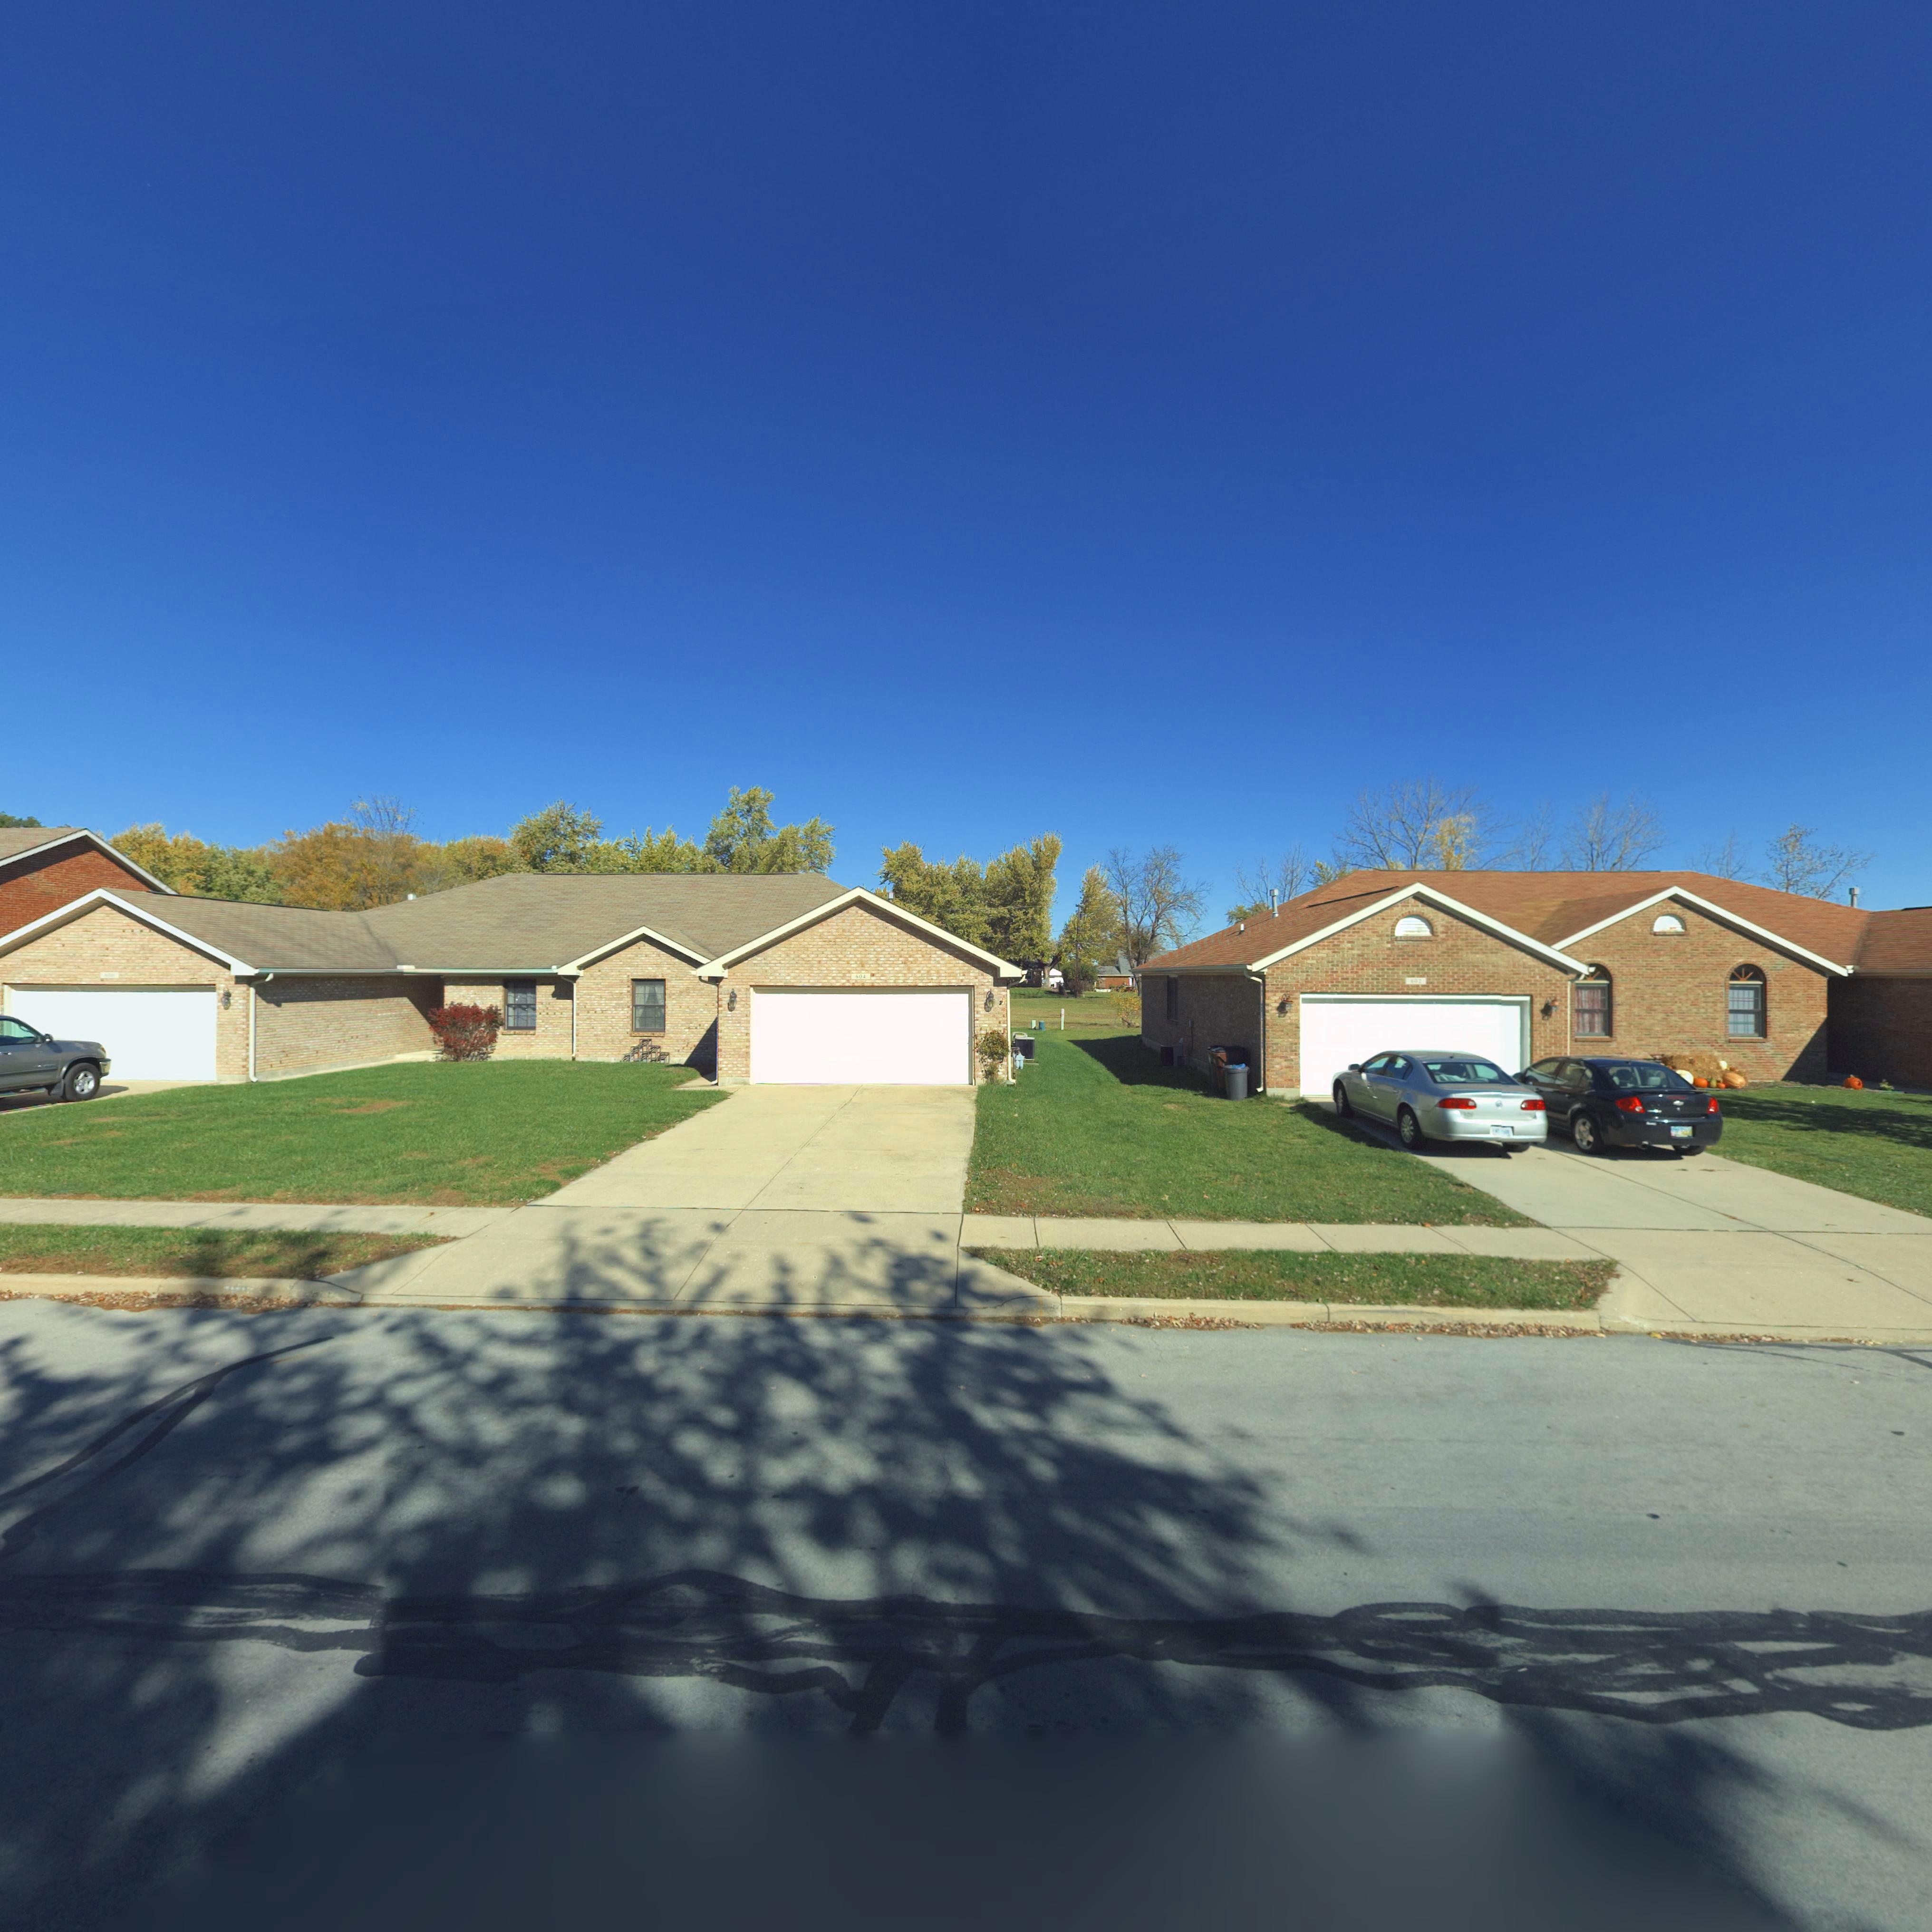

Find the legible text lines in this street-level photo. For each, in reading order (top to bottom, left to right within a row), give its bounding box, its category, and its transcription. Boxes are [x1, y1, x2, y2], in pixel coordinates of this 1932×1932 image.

[855, 974, 866, 979] StreetNumber: 604
[1410, 978, 1422, 984] StreetNumber: 602